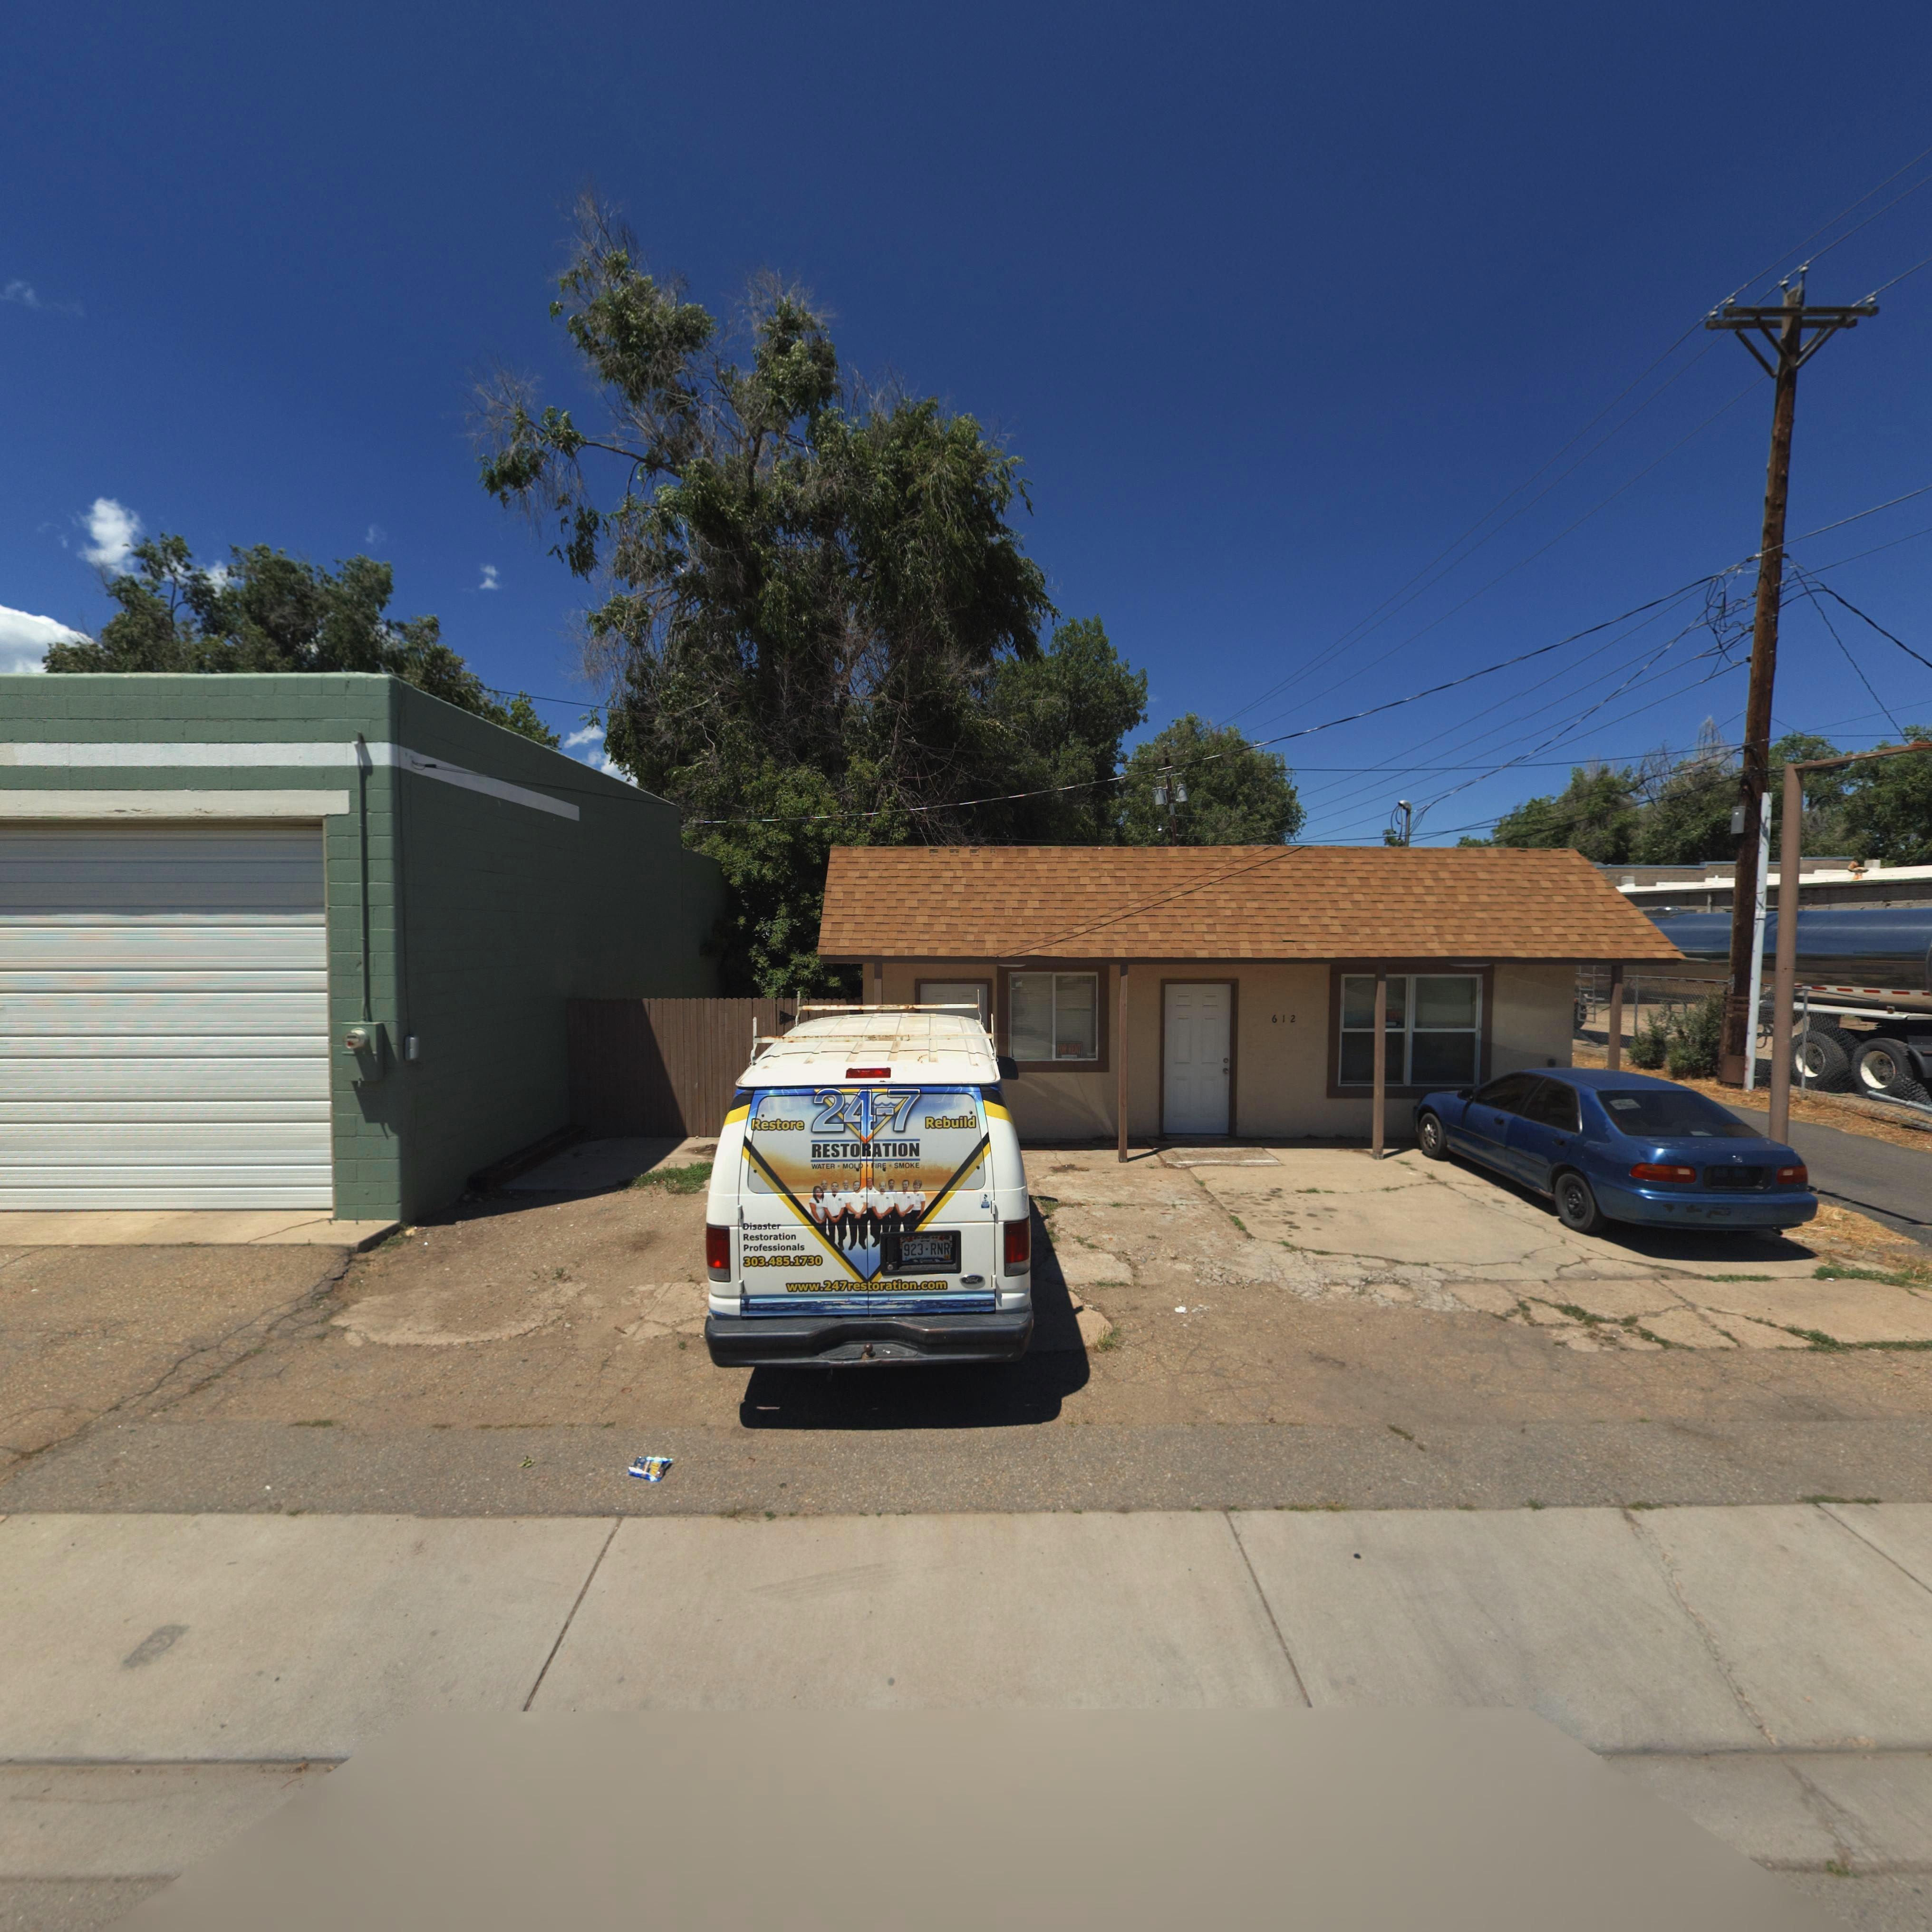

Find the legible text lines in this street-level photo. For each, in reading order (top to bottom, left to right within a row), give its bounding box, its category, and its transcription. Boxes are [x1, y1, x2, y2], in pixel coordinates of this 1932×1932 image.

[1271, 1014, 1295, 1023] StreetNumber: 612